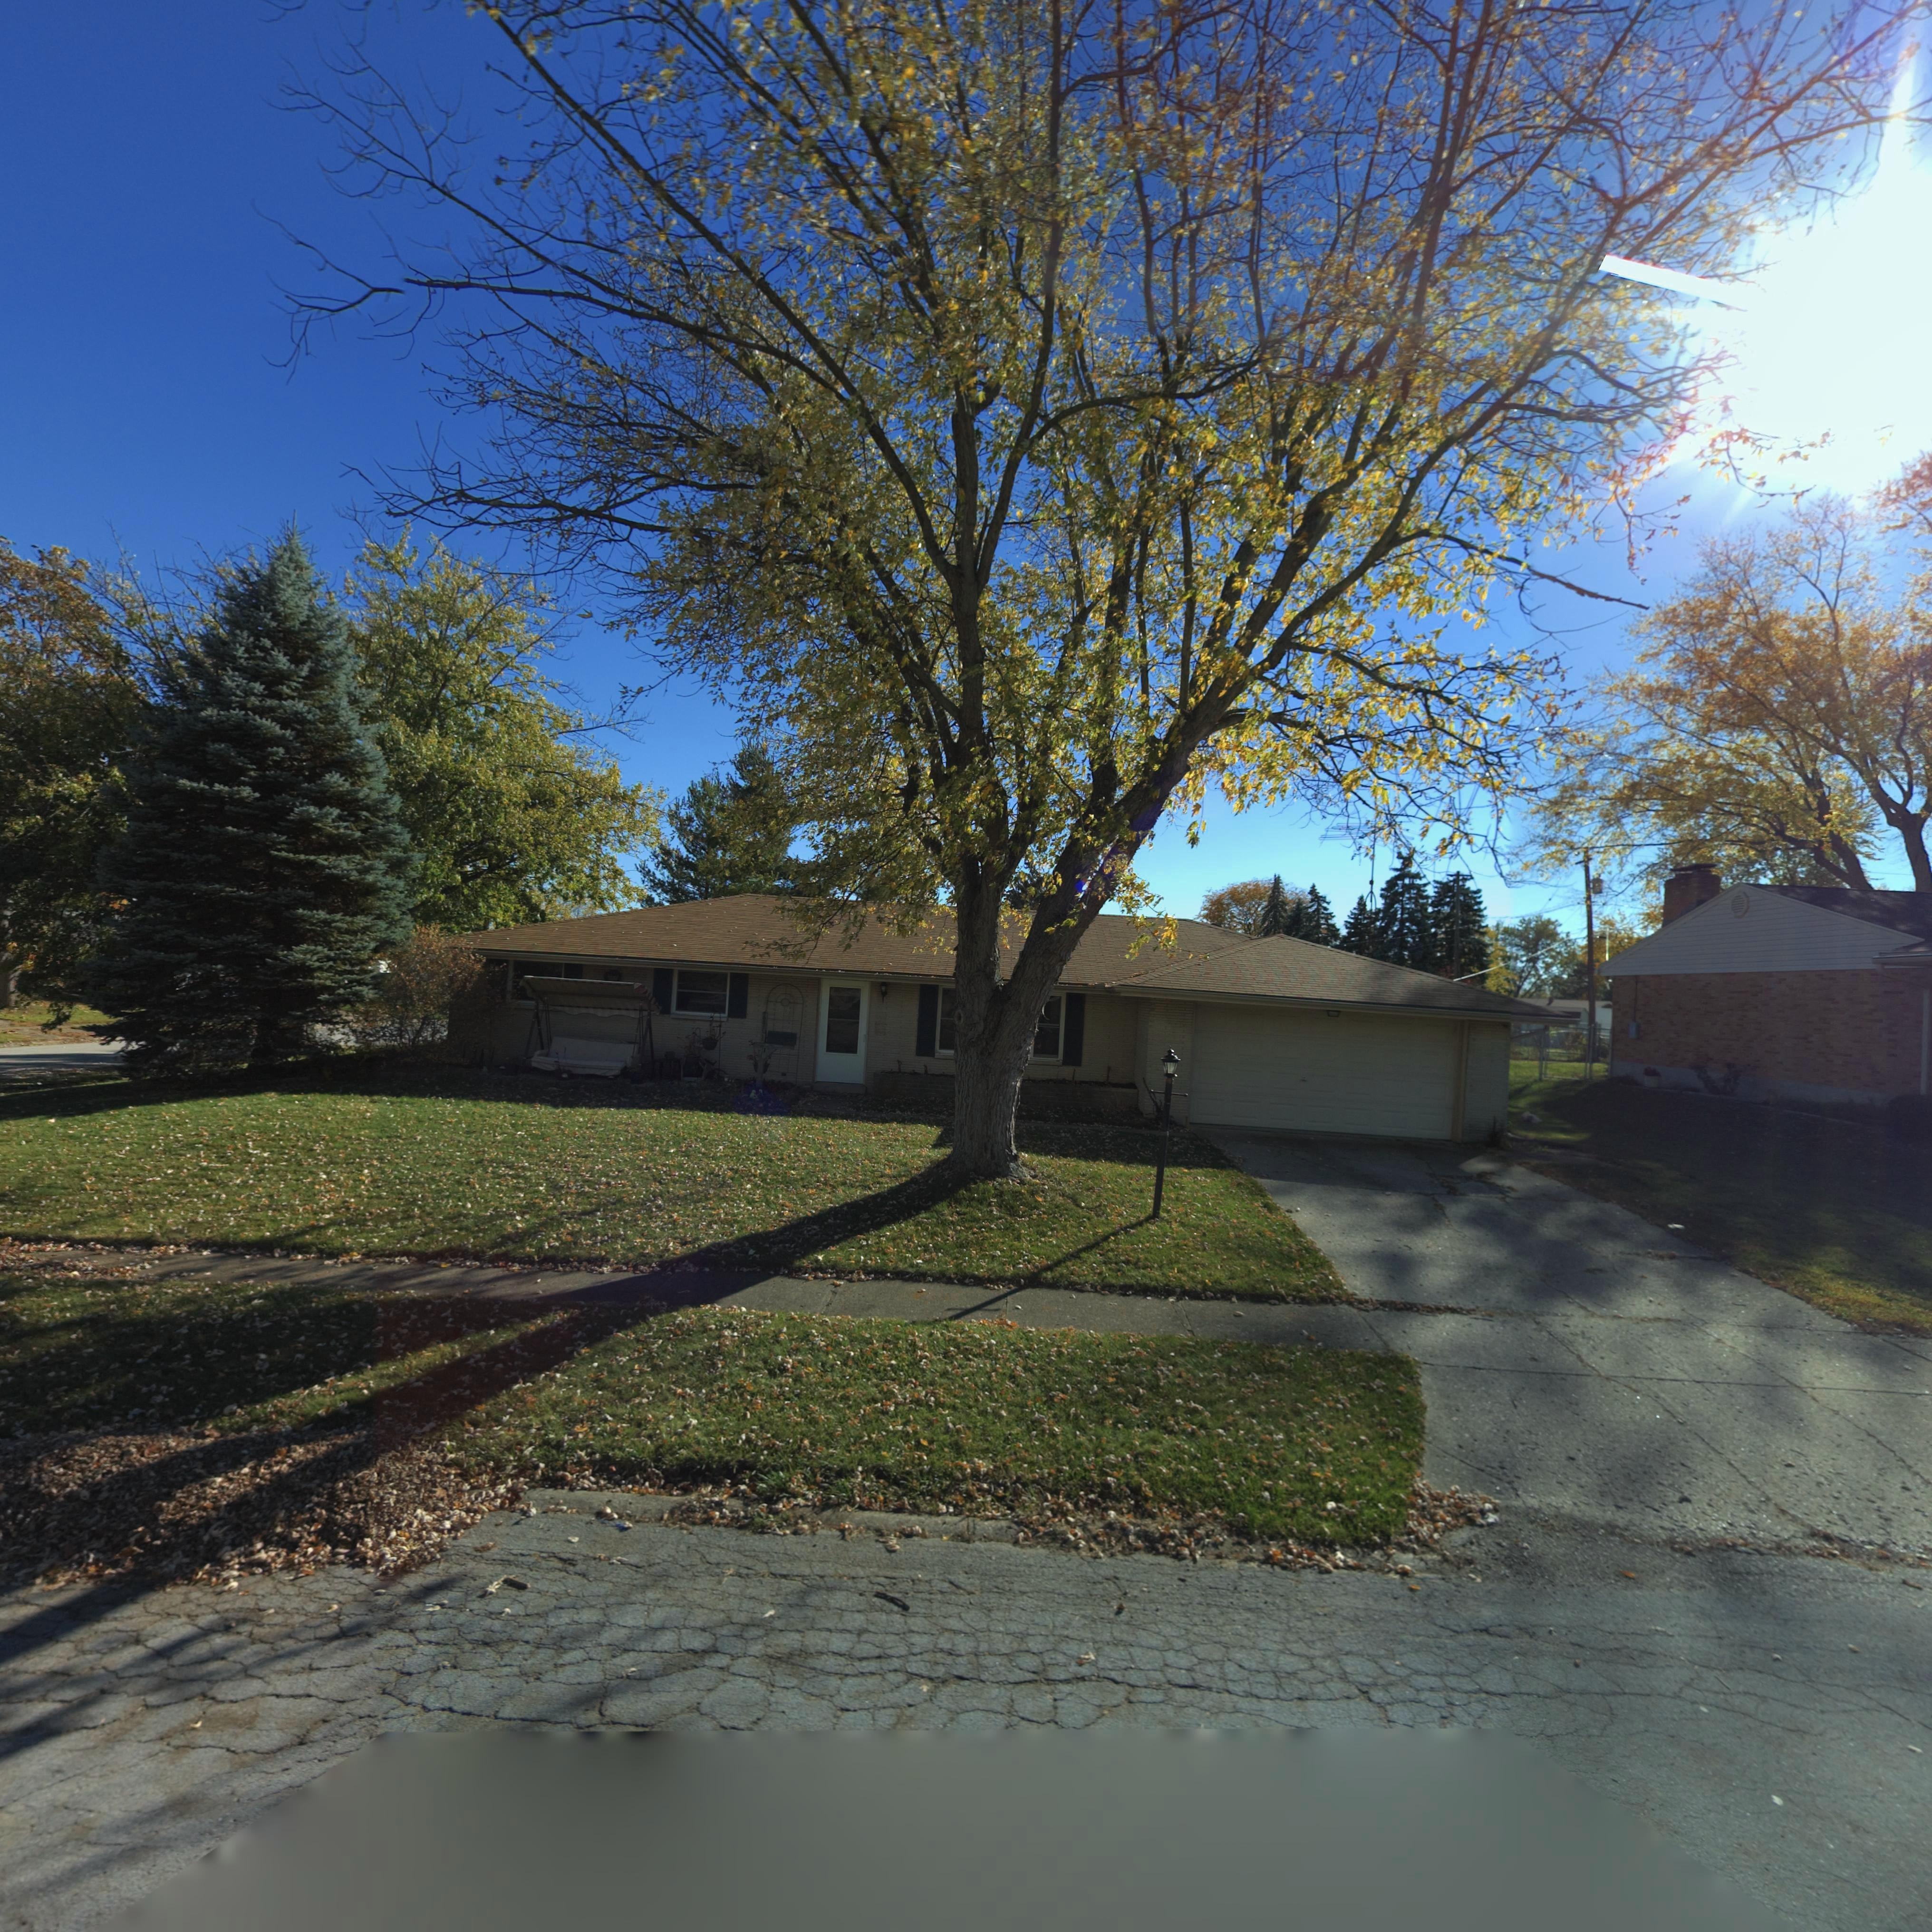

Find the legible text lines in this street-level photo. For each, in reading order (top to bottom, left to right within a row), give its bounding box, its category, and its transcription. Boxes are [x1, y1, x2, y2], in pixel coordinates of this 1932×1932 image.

[760, 1014, 768, 1042] StreetNumber: 6901